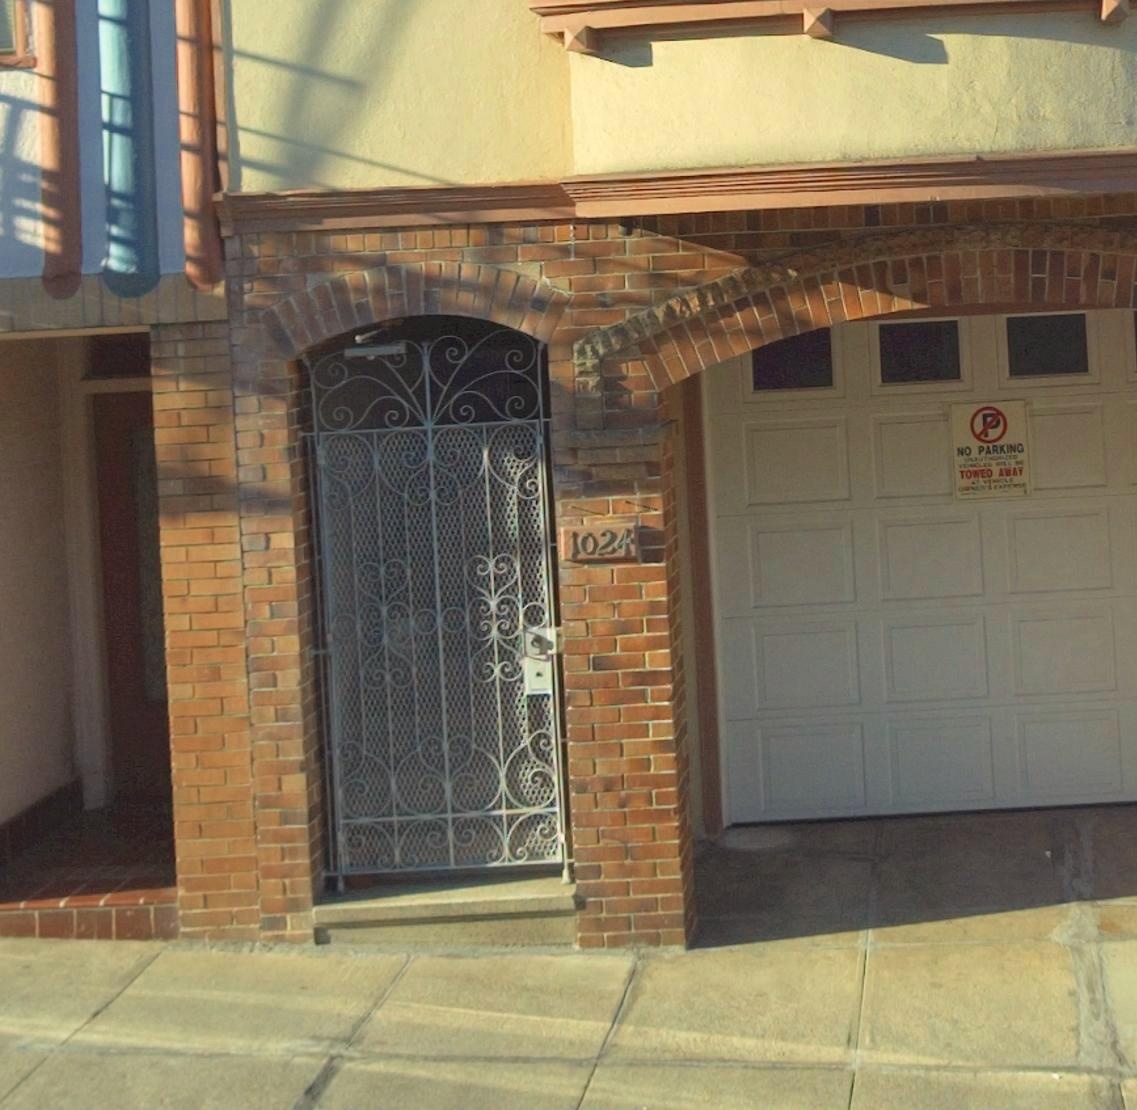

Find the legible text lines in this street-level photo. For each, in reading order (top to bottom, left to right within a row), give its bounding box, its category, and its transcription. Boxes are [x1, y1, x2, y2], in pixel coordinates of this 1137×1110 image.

[954, 442, 1026, 458] None: NO PARKING
[956, 466, 1026, 480] None: TOWED AWAY
[568, 526, 637, 558] StreetNumber: 1024